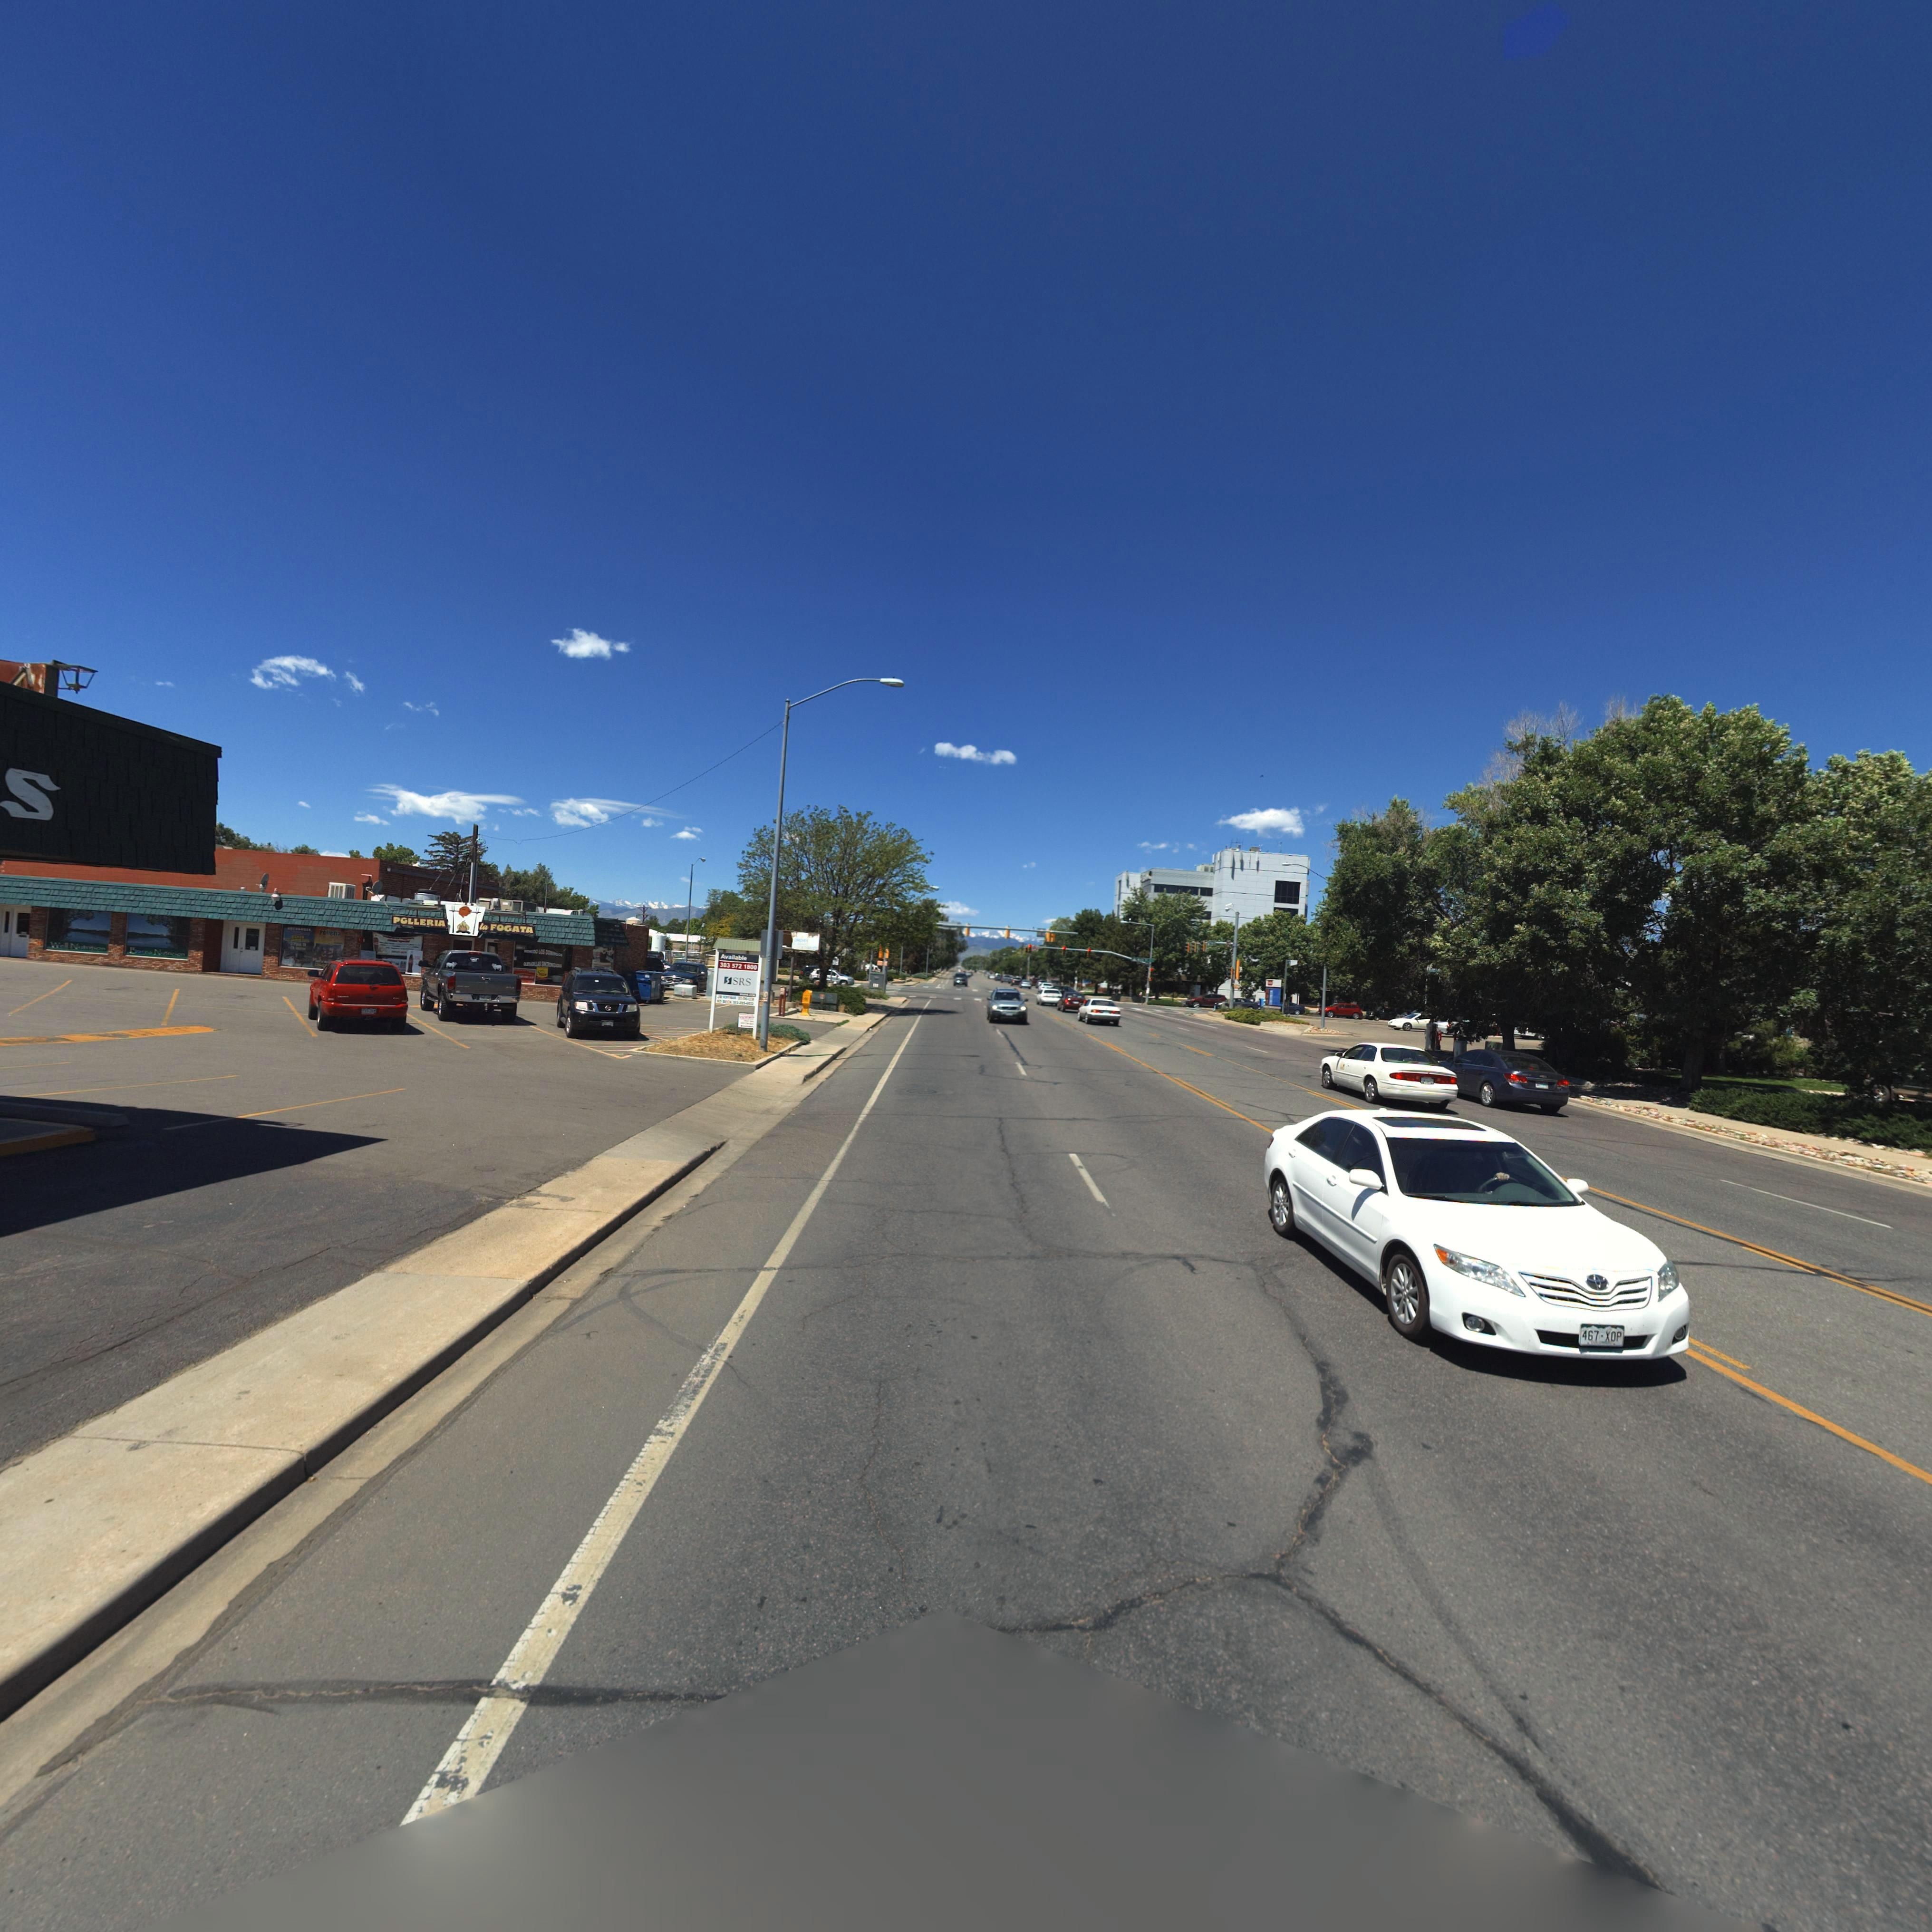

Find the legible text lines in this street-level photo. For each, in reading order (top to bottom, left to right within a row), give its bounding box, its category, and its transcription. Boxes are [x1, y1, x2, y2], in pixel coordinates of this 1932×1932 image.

[0, 766, 63, 821] BusinessName: s
[392, 916, 534, 934] BusinessName: POLLERIA la FOGATA